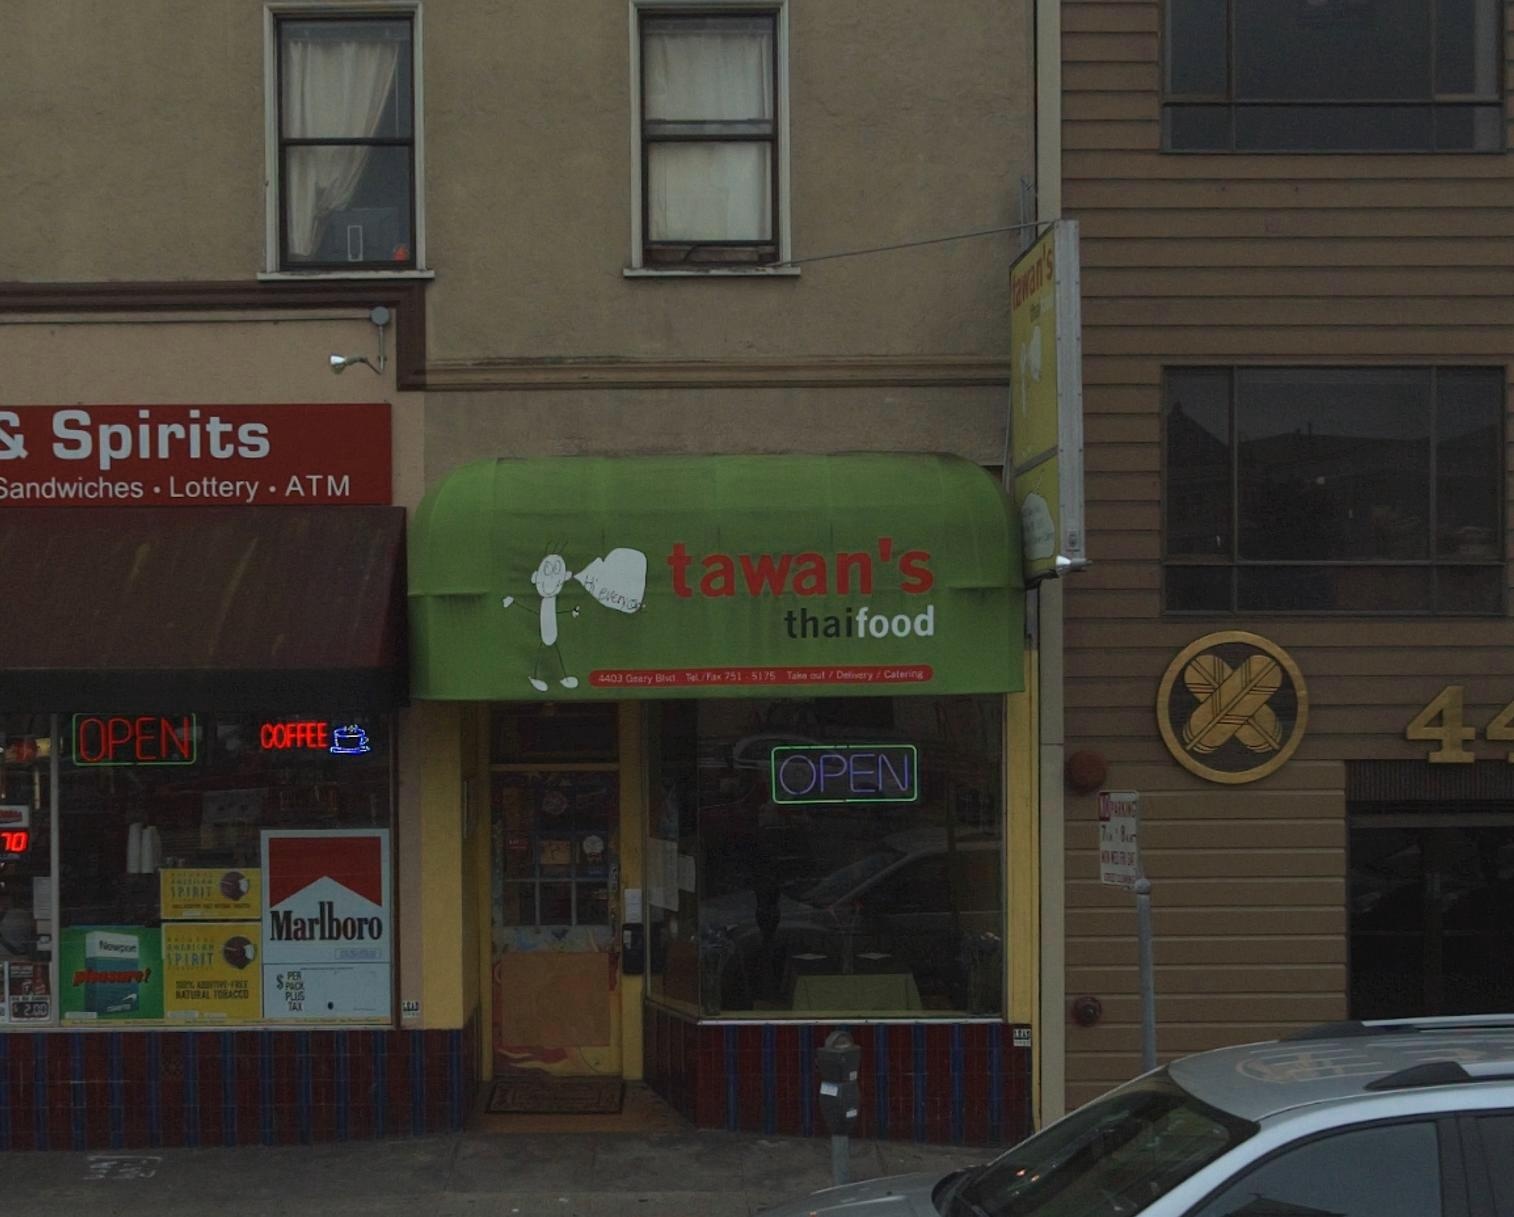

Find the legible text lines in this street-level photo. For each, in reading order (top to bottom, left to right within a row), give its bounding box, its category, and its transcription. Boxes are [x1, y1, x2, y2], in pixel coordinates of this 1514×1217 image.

[1009, 240, 1055, 316] BusinessName: tawan's
[49, 405, 274, 474] BusinessName: Spirits
[8, 473, 351, 505] None: andwiches*Lottery*ATM
[663, 534, 938, 602] BusinessName: tawan's
[579, 572, 600, 597] None: Hi
[597, 584, 650, 616] None: everyone
[784, 601, 938, 641] BusinessName: thaifood
[595, 672, 623, 684] None: 4409
[623, 671, 678, 686] None: G**ry Blvd
[683, 667, 926, 685] None: Tel./Fax 751-5175 Take out/Delivery/Catering
[78, 714, 192, 764] None: OPEN
[258, 719, 330, 751] None: COFFEE
[1401, 679, 1480, 768] StreetNumber: 4
[776, 751, 911, 799] None: OPEN
[1099, 793, 1138, 822] None: NO PARKING
[0, 830, 32, 855] None: 70
[170, 877, 213, 886] None: AMERICAN
[170, 885, 213, 898] None: SPIRIT
[268, 898, 384, 943] None: Marlboro
[98, 938, 137, 955] None: Newport
[164, 951, 214, 966] None: SPIRIT
[165, 942, 215, 952] None: AMERICAN
[70, 965, 154, 989] None: pleasure!
[173, 989, 251, 1001] None: NATURAL TOBACCO
[285, 969, 303, 981] None: PER
[283, 991, 306, 1002] None: PLUS
[284, 980, 306, 992] None: PACK
[286, 1001, 304, 1013] None: TAX